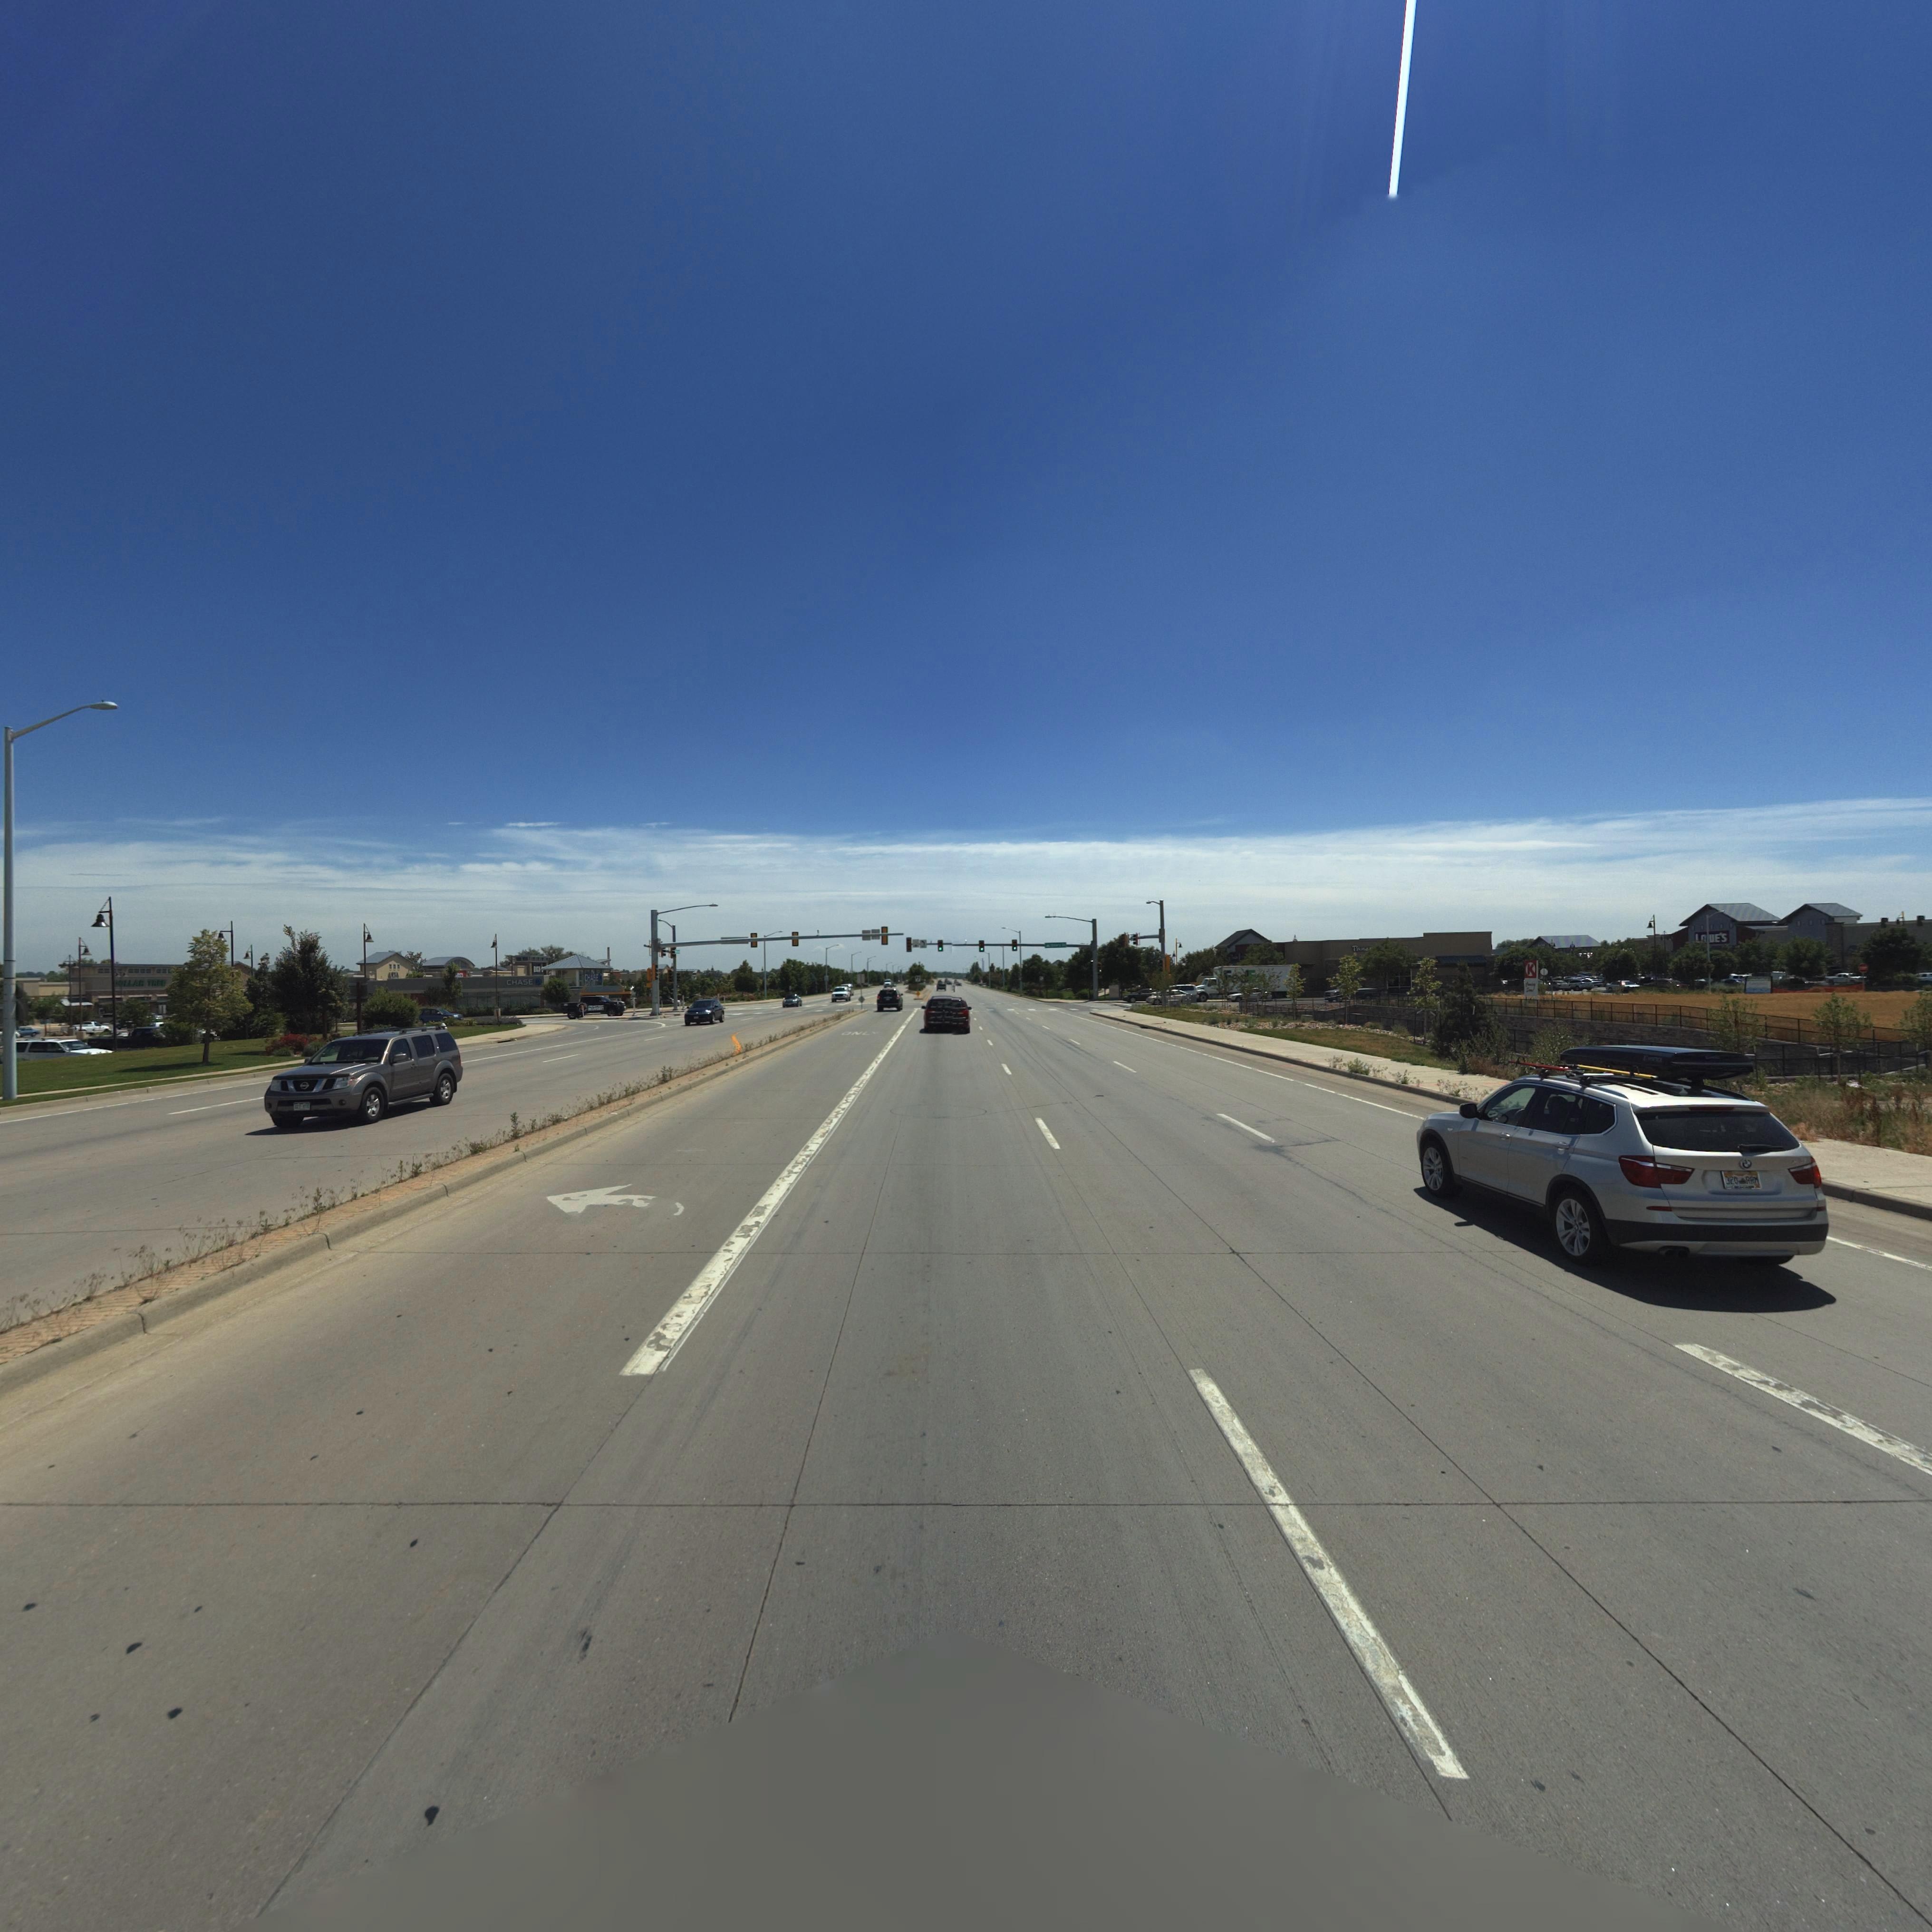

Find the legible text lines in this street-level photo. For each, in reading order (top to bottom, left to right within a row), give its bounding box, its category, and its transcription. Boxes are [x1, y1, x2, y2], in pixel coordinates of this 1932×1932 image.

[1695, 932, 1728, 943] BusinessName: LO*E'S
[1351, 945, 1369, 952] BusinessName: Pane
[584, 974, 599, 982] BusinessName: CHASE
[118, 979, 166, 987] BusinessName: OLLAR TREE
[506, 979, 533, 985] BusinessName: CHASE